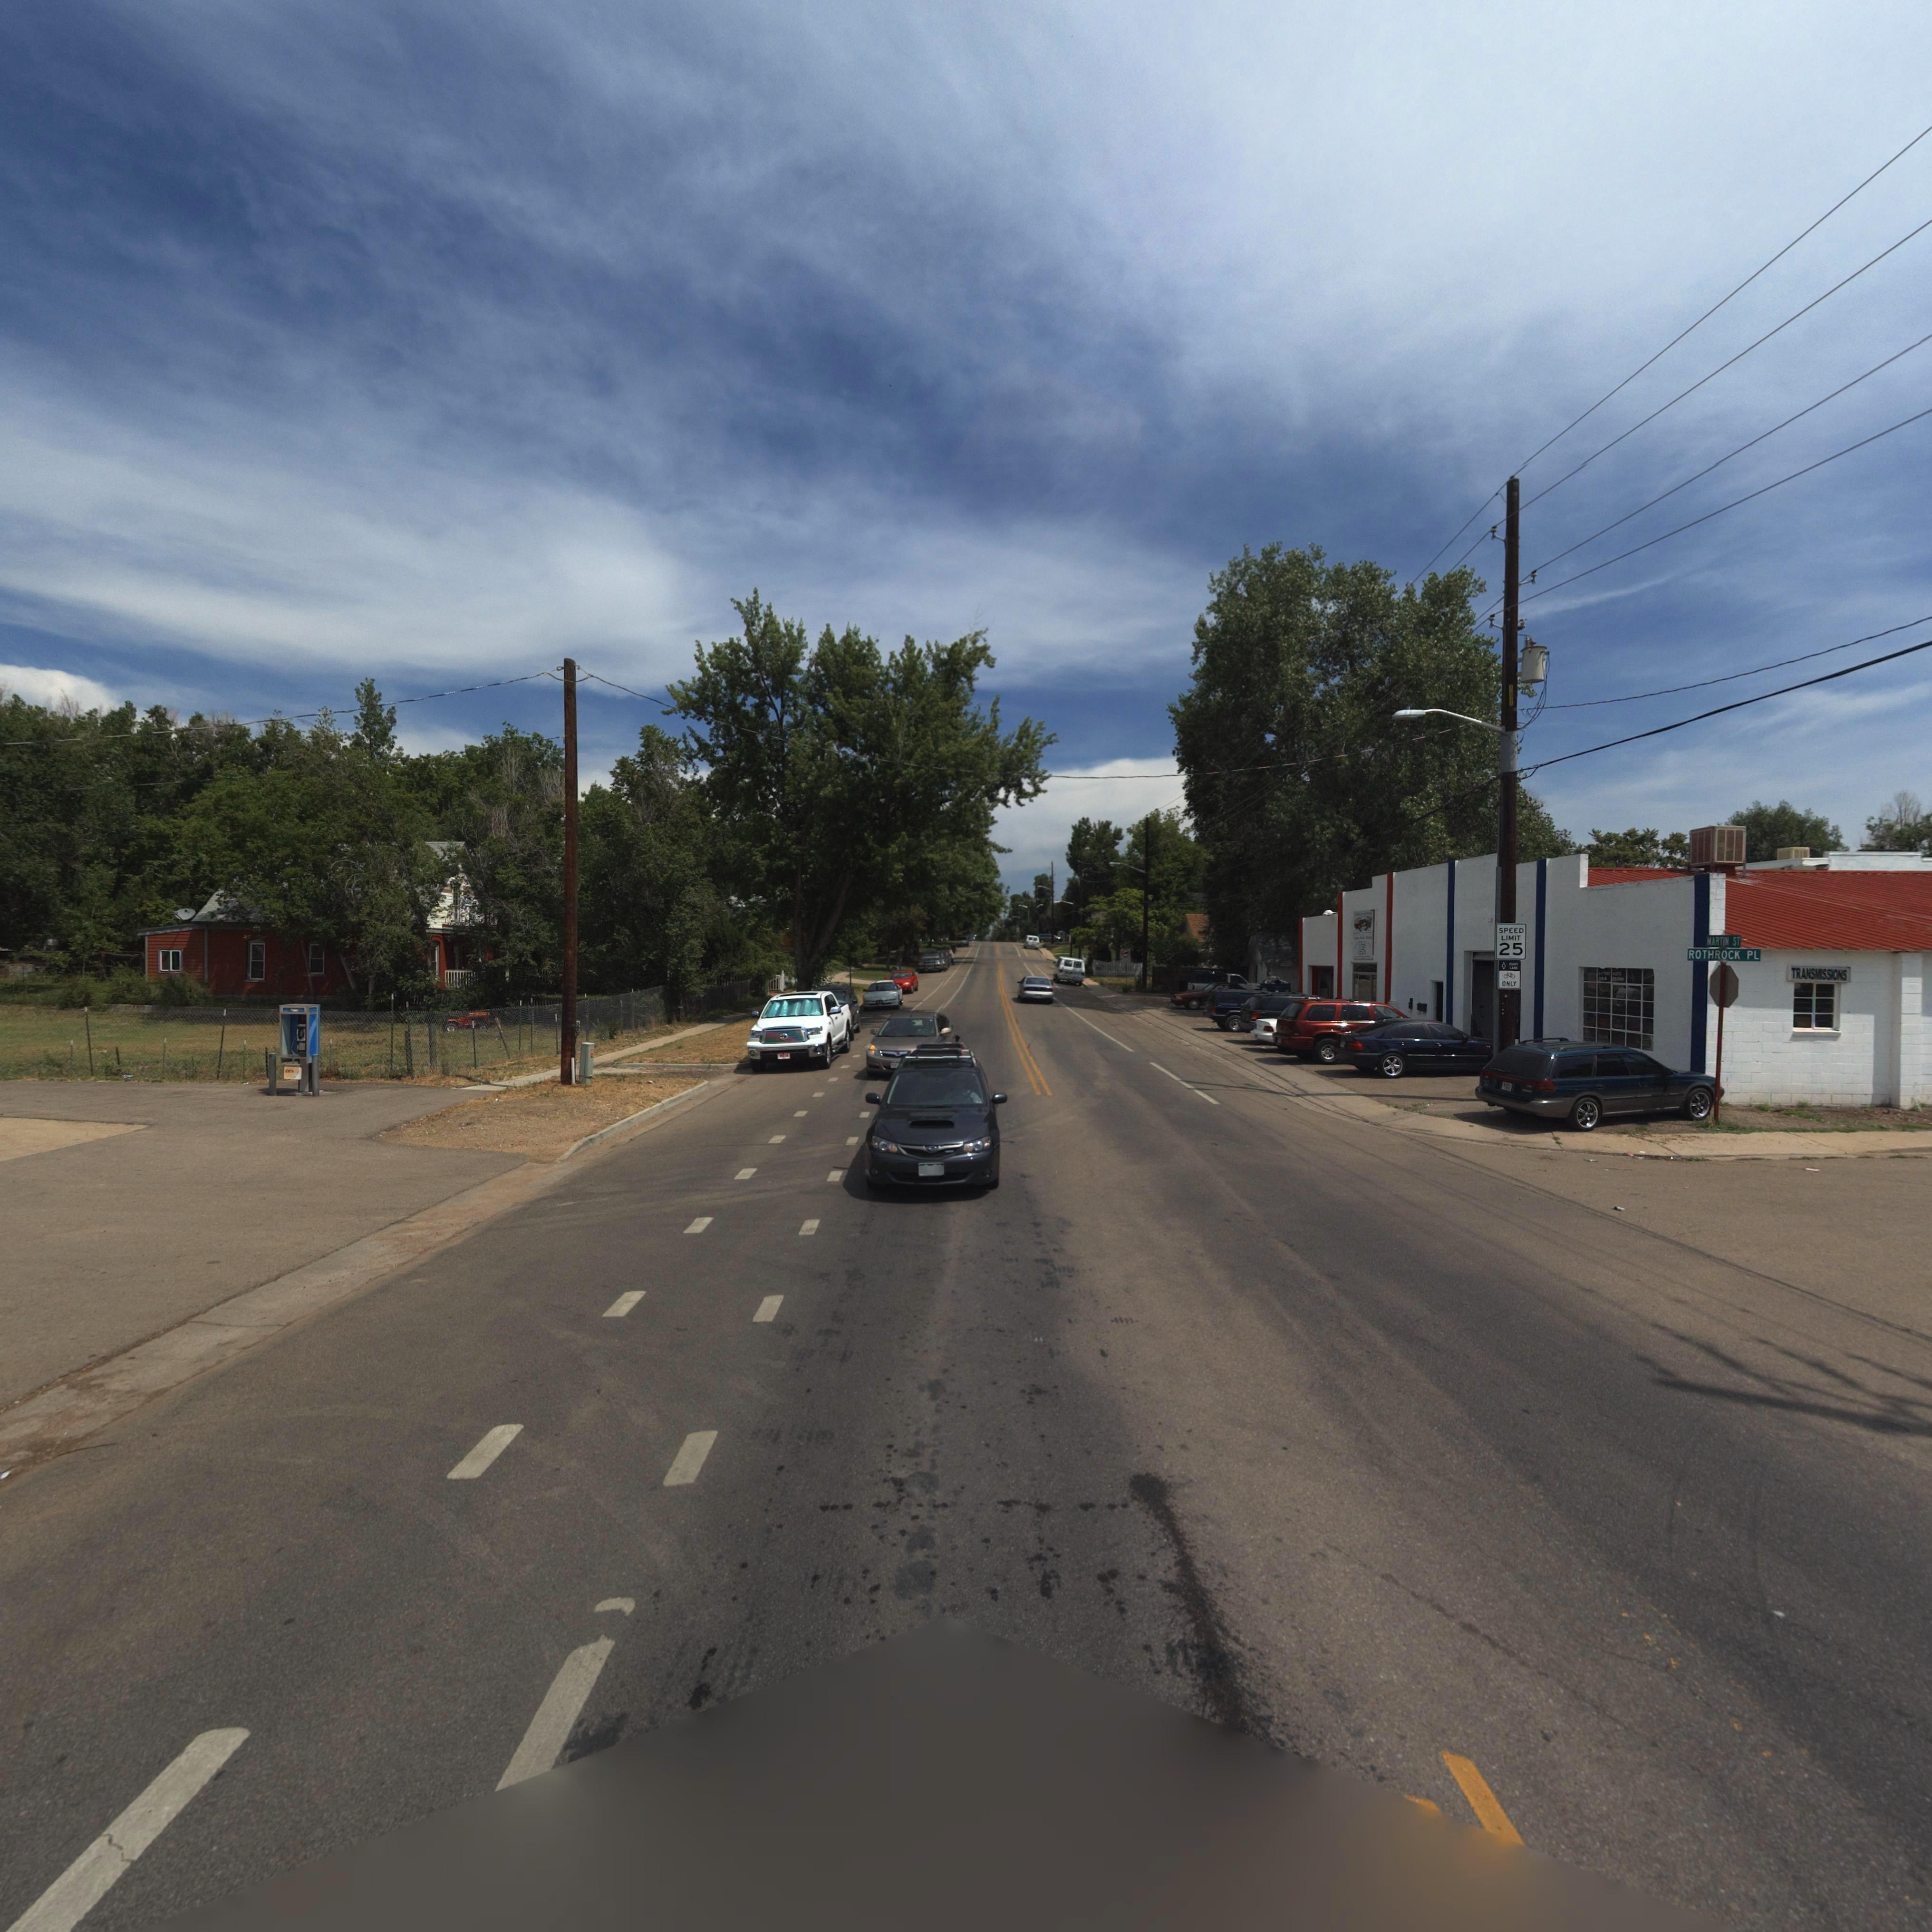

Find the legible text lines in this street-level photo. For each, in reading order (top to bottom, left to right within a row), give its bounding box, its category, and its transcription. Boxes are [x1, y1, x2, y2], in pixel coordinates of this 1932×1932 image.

[1706, 936, 1740, 947] StreetName: MARTIN ST
[1688, 949, 1759, 960] StreetName: ROTHROCK PL